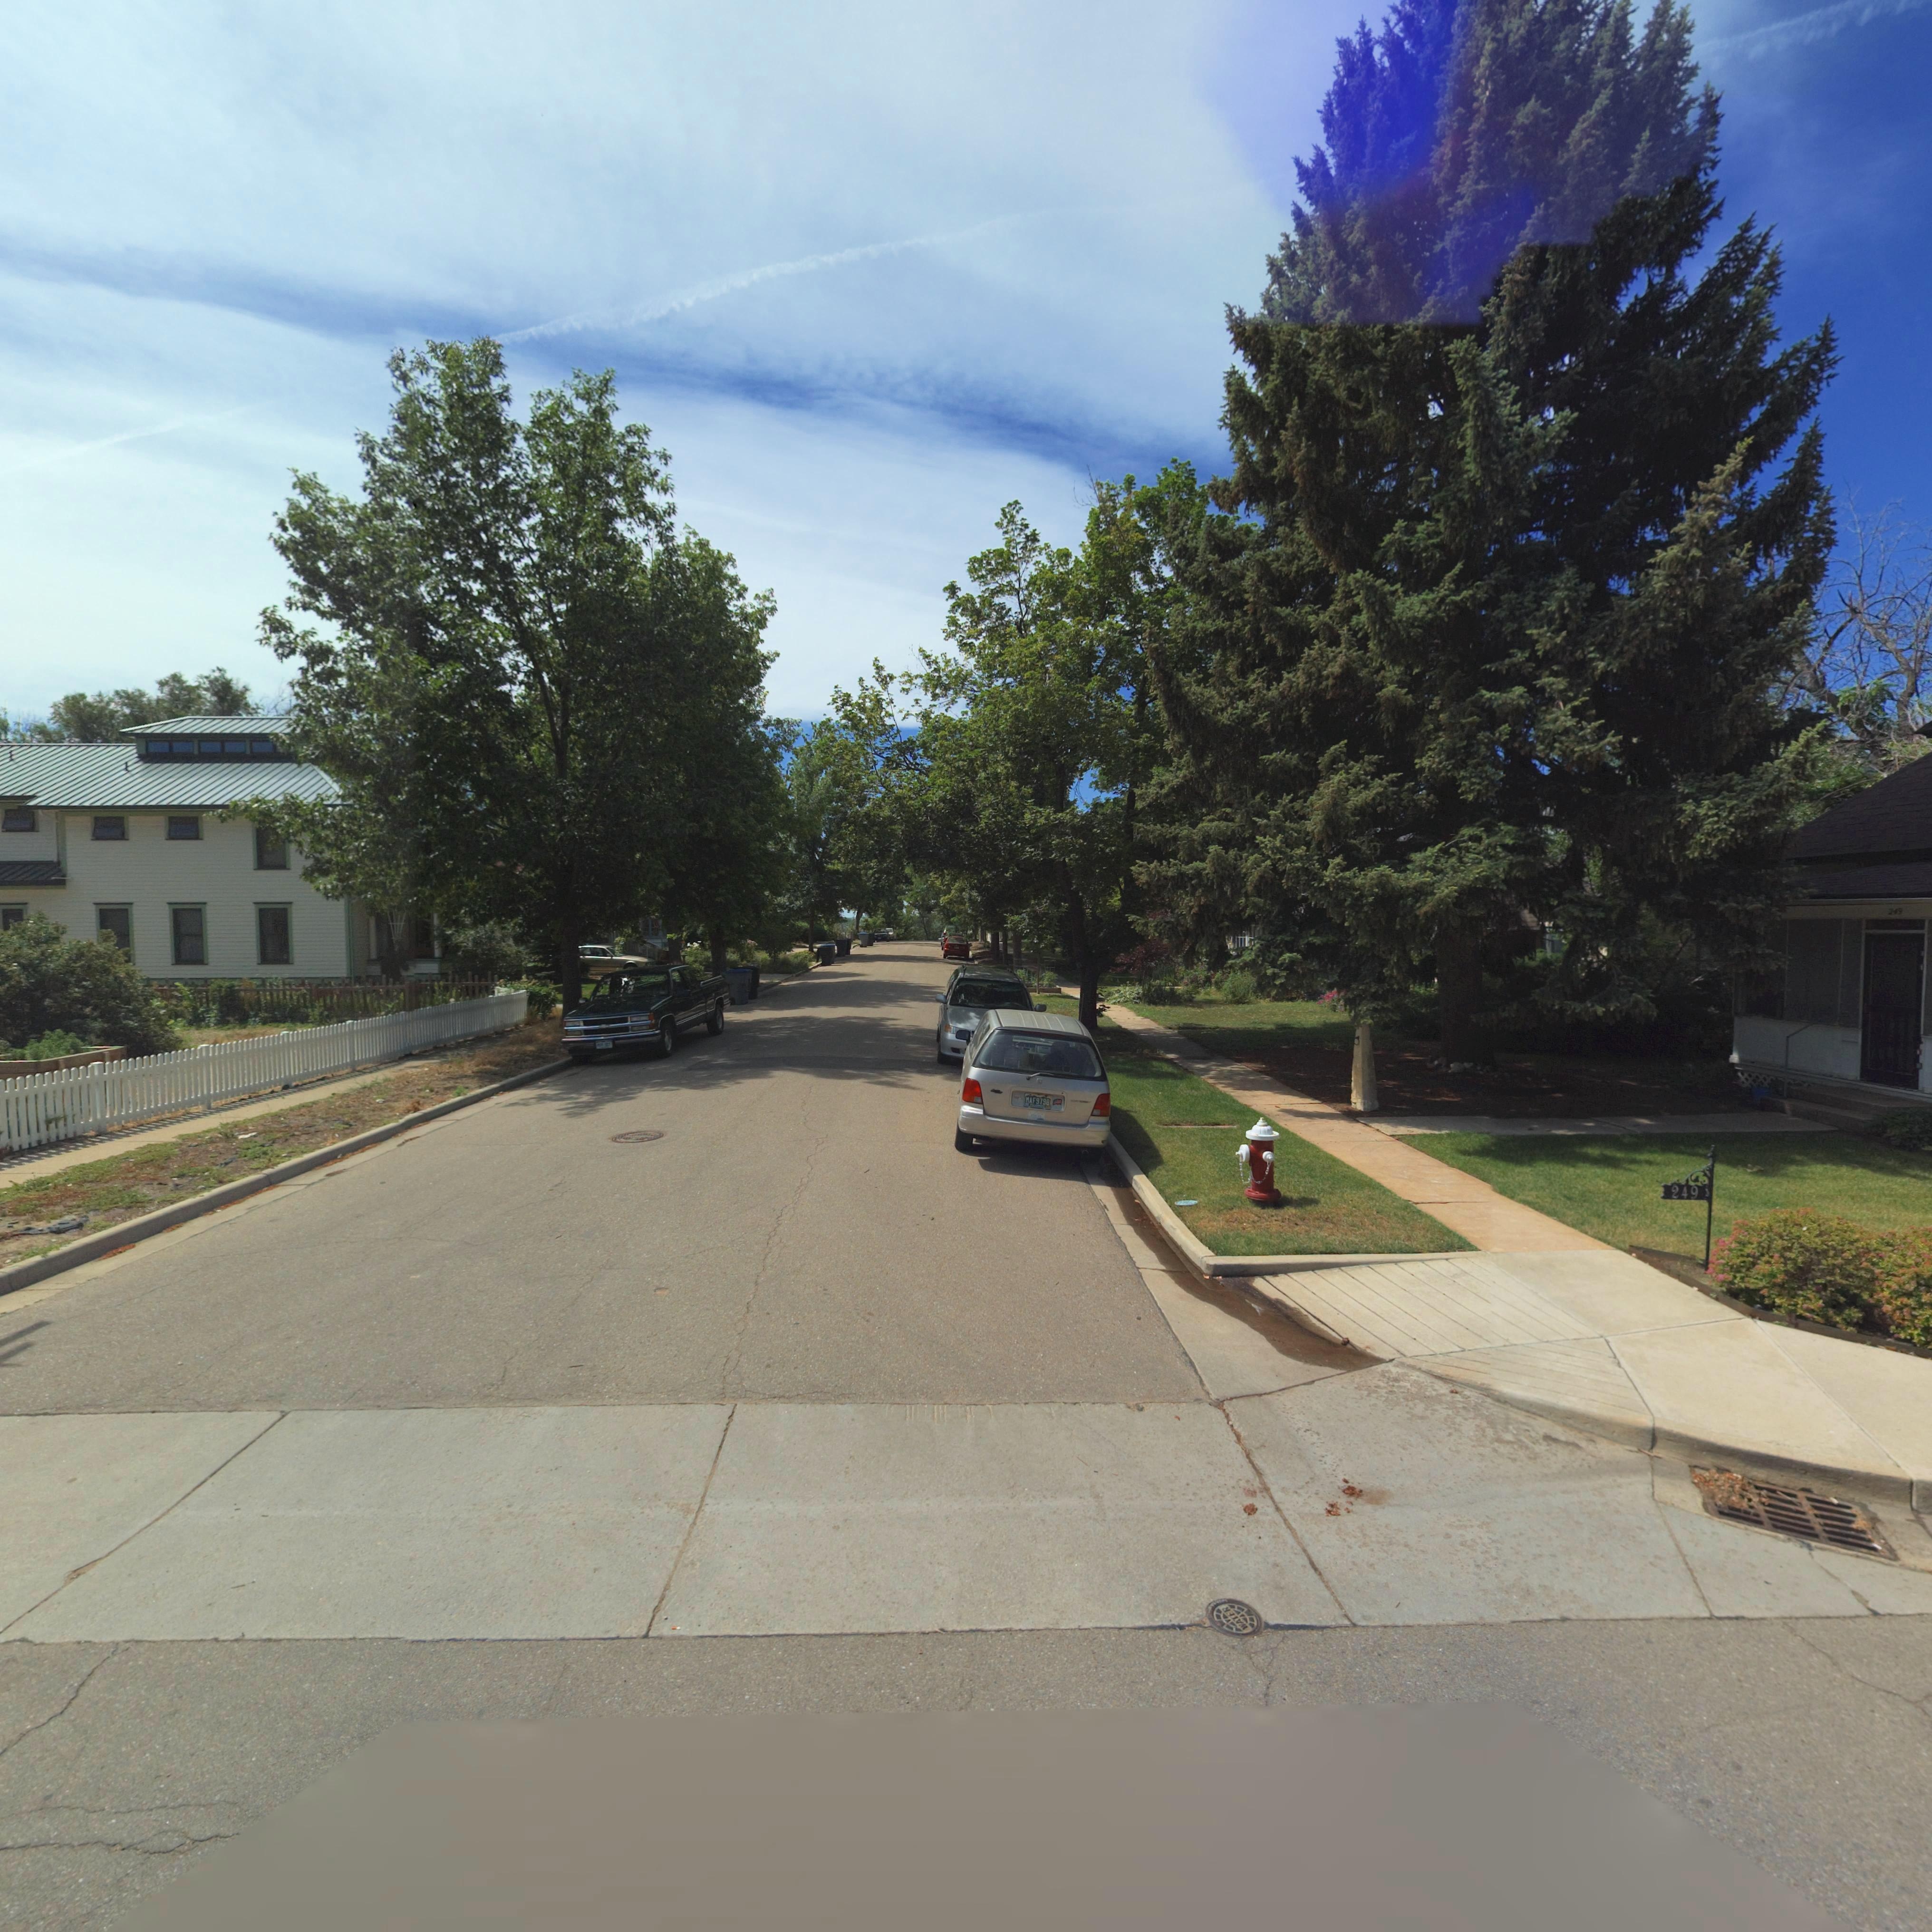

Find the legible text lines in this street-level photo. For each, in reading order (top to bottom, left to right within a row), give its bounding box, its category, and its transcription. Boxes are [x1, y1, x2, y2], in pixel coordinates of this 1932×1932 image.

[1887, 908, 1903, 915] StreetNumber: 249
[1670, 1184, 1699, 1200] StreetNumber: 249